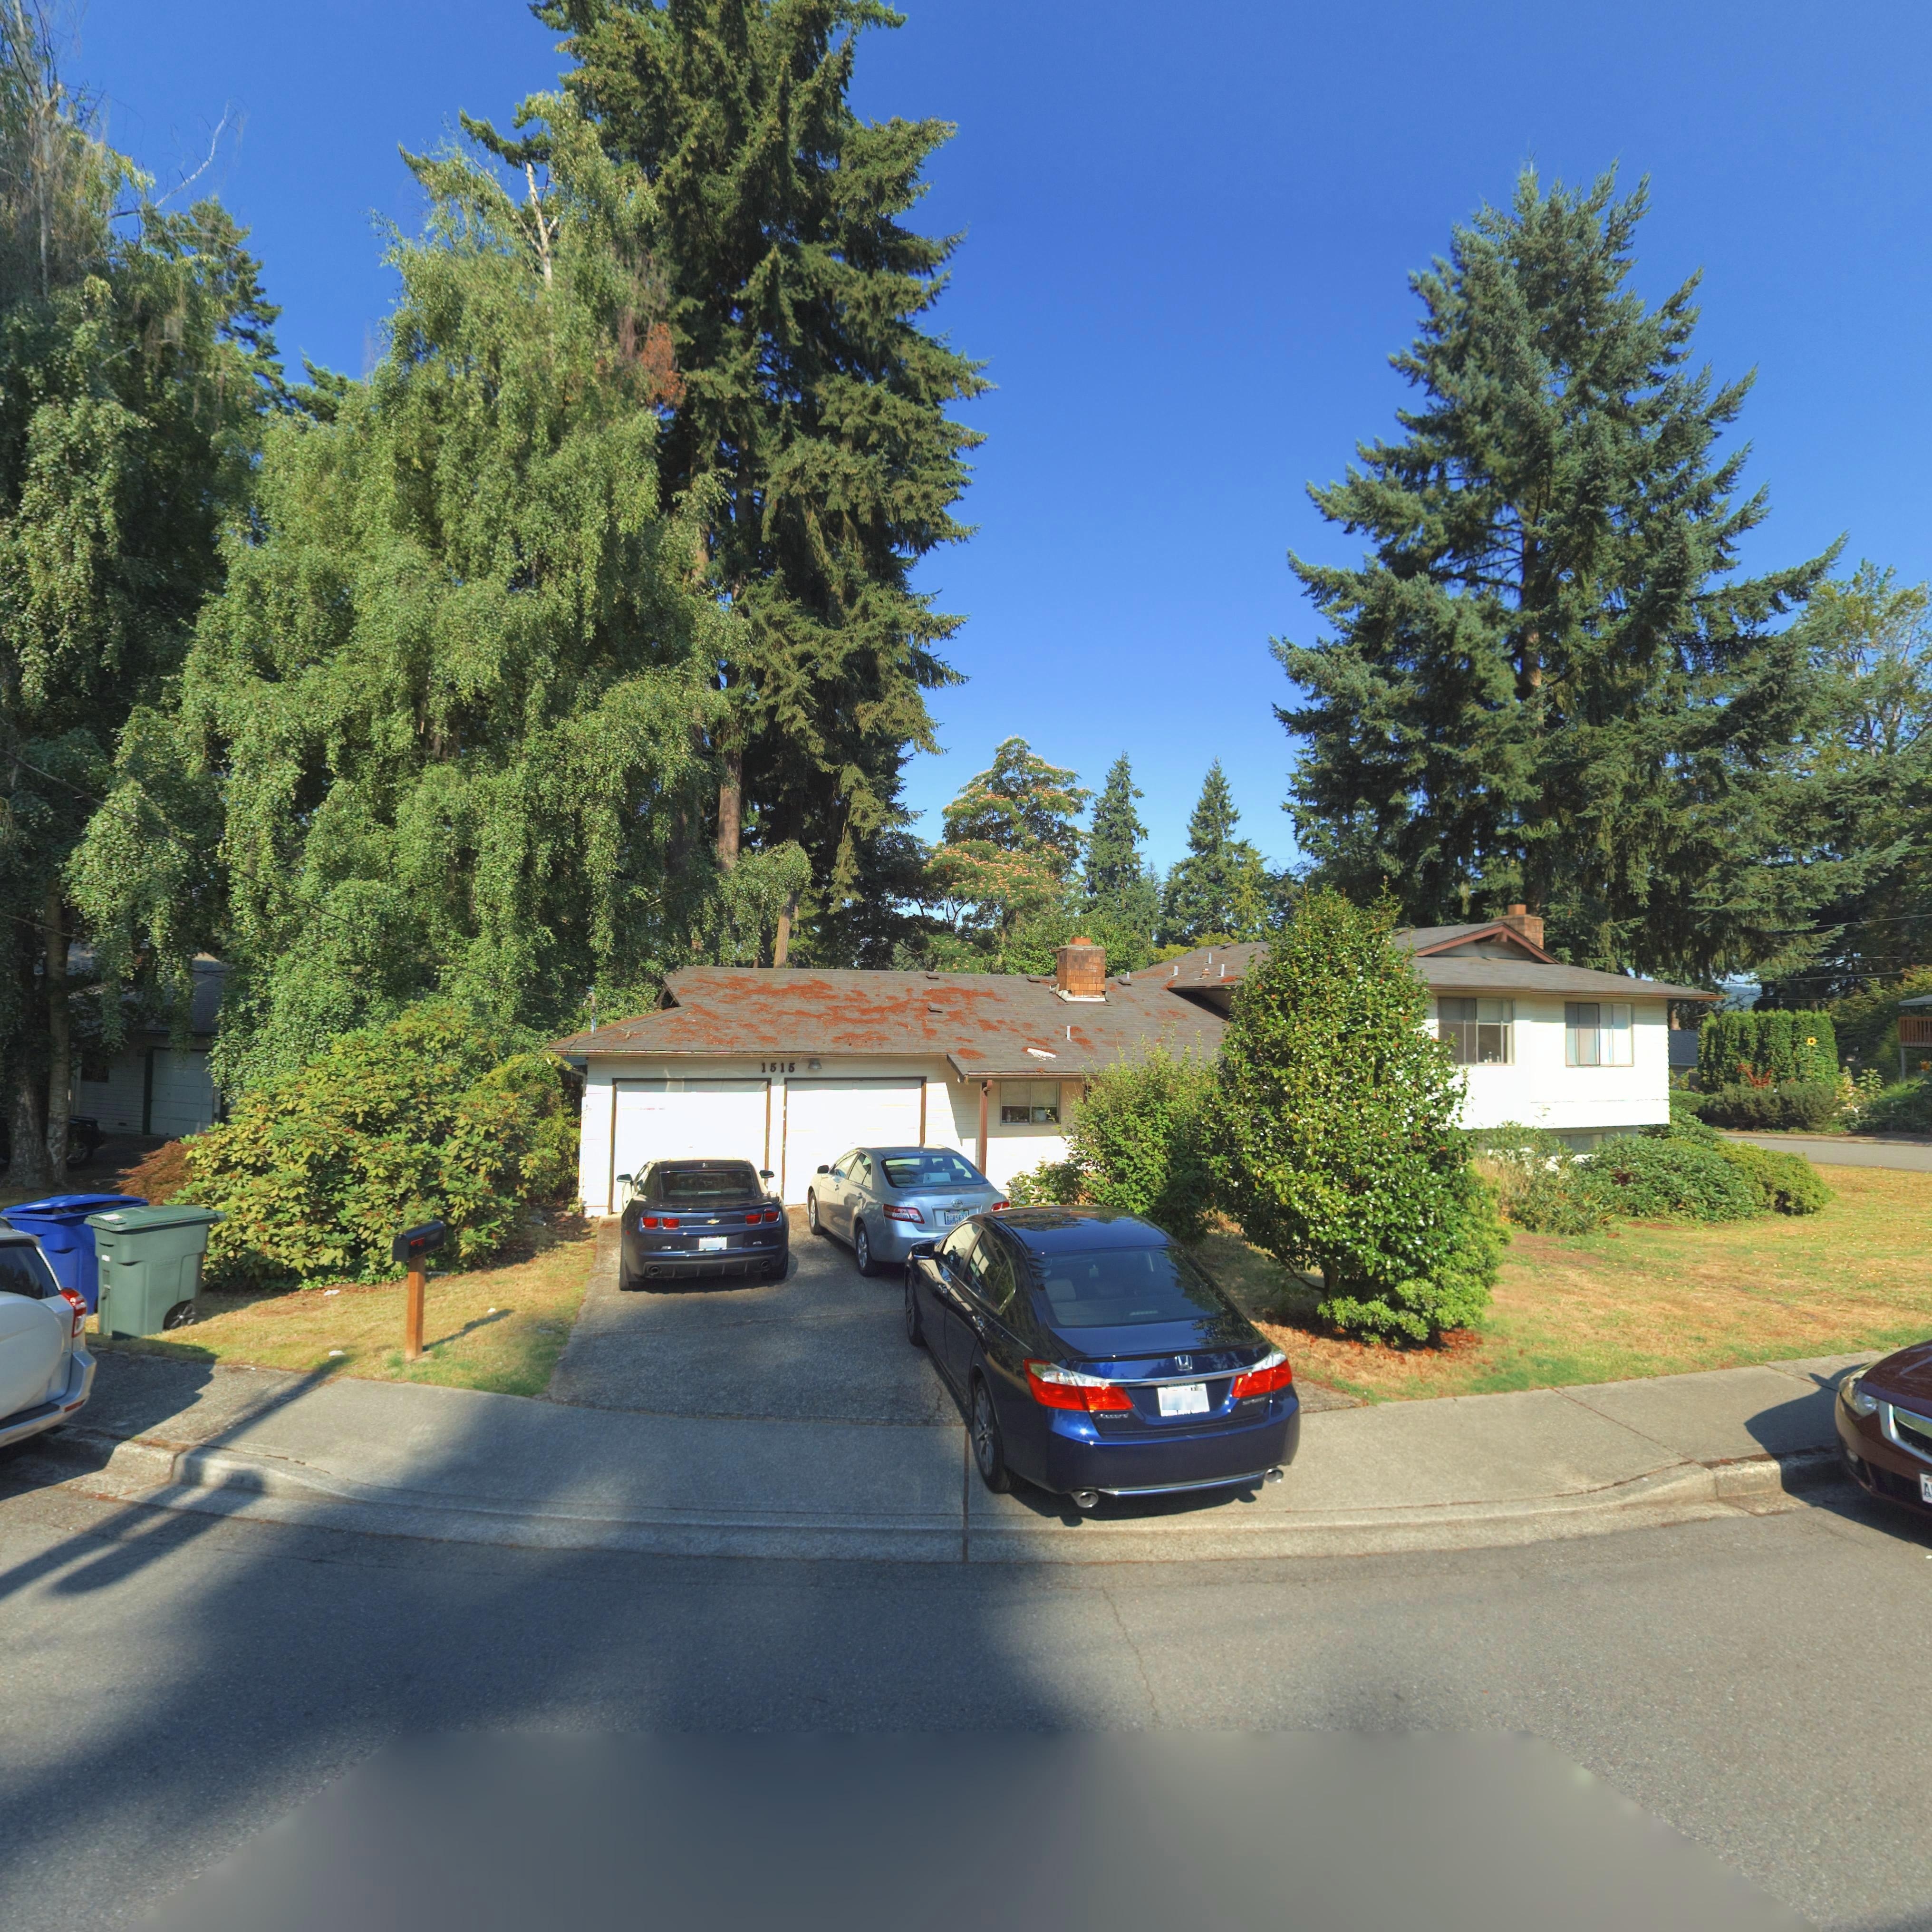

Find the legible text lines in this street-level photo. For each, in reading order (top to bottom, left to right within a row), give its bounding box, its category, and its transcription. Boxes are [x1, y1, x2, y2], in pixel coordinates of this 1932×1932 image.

[761, 1062, 796, 1073] StreetNumber: 1515